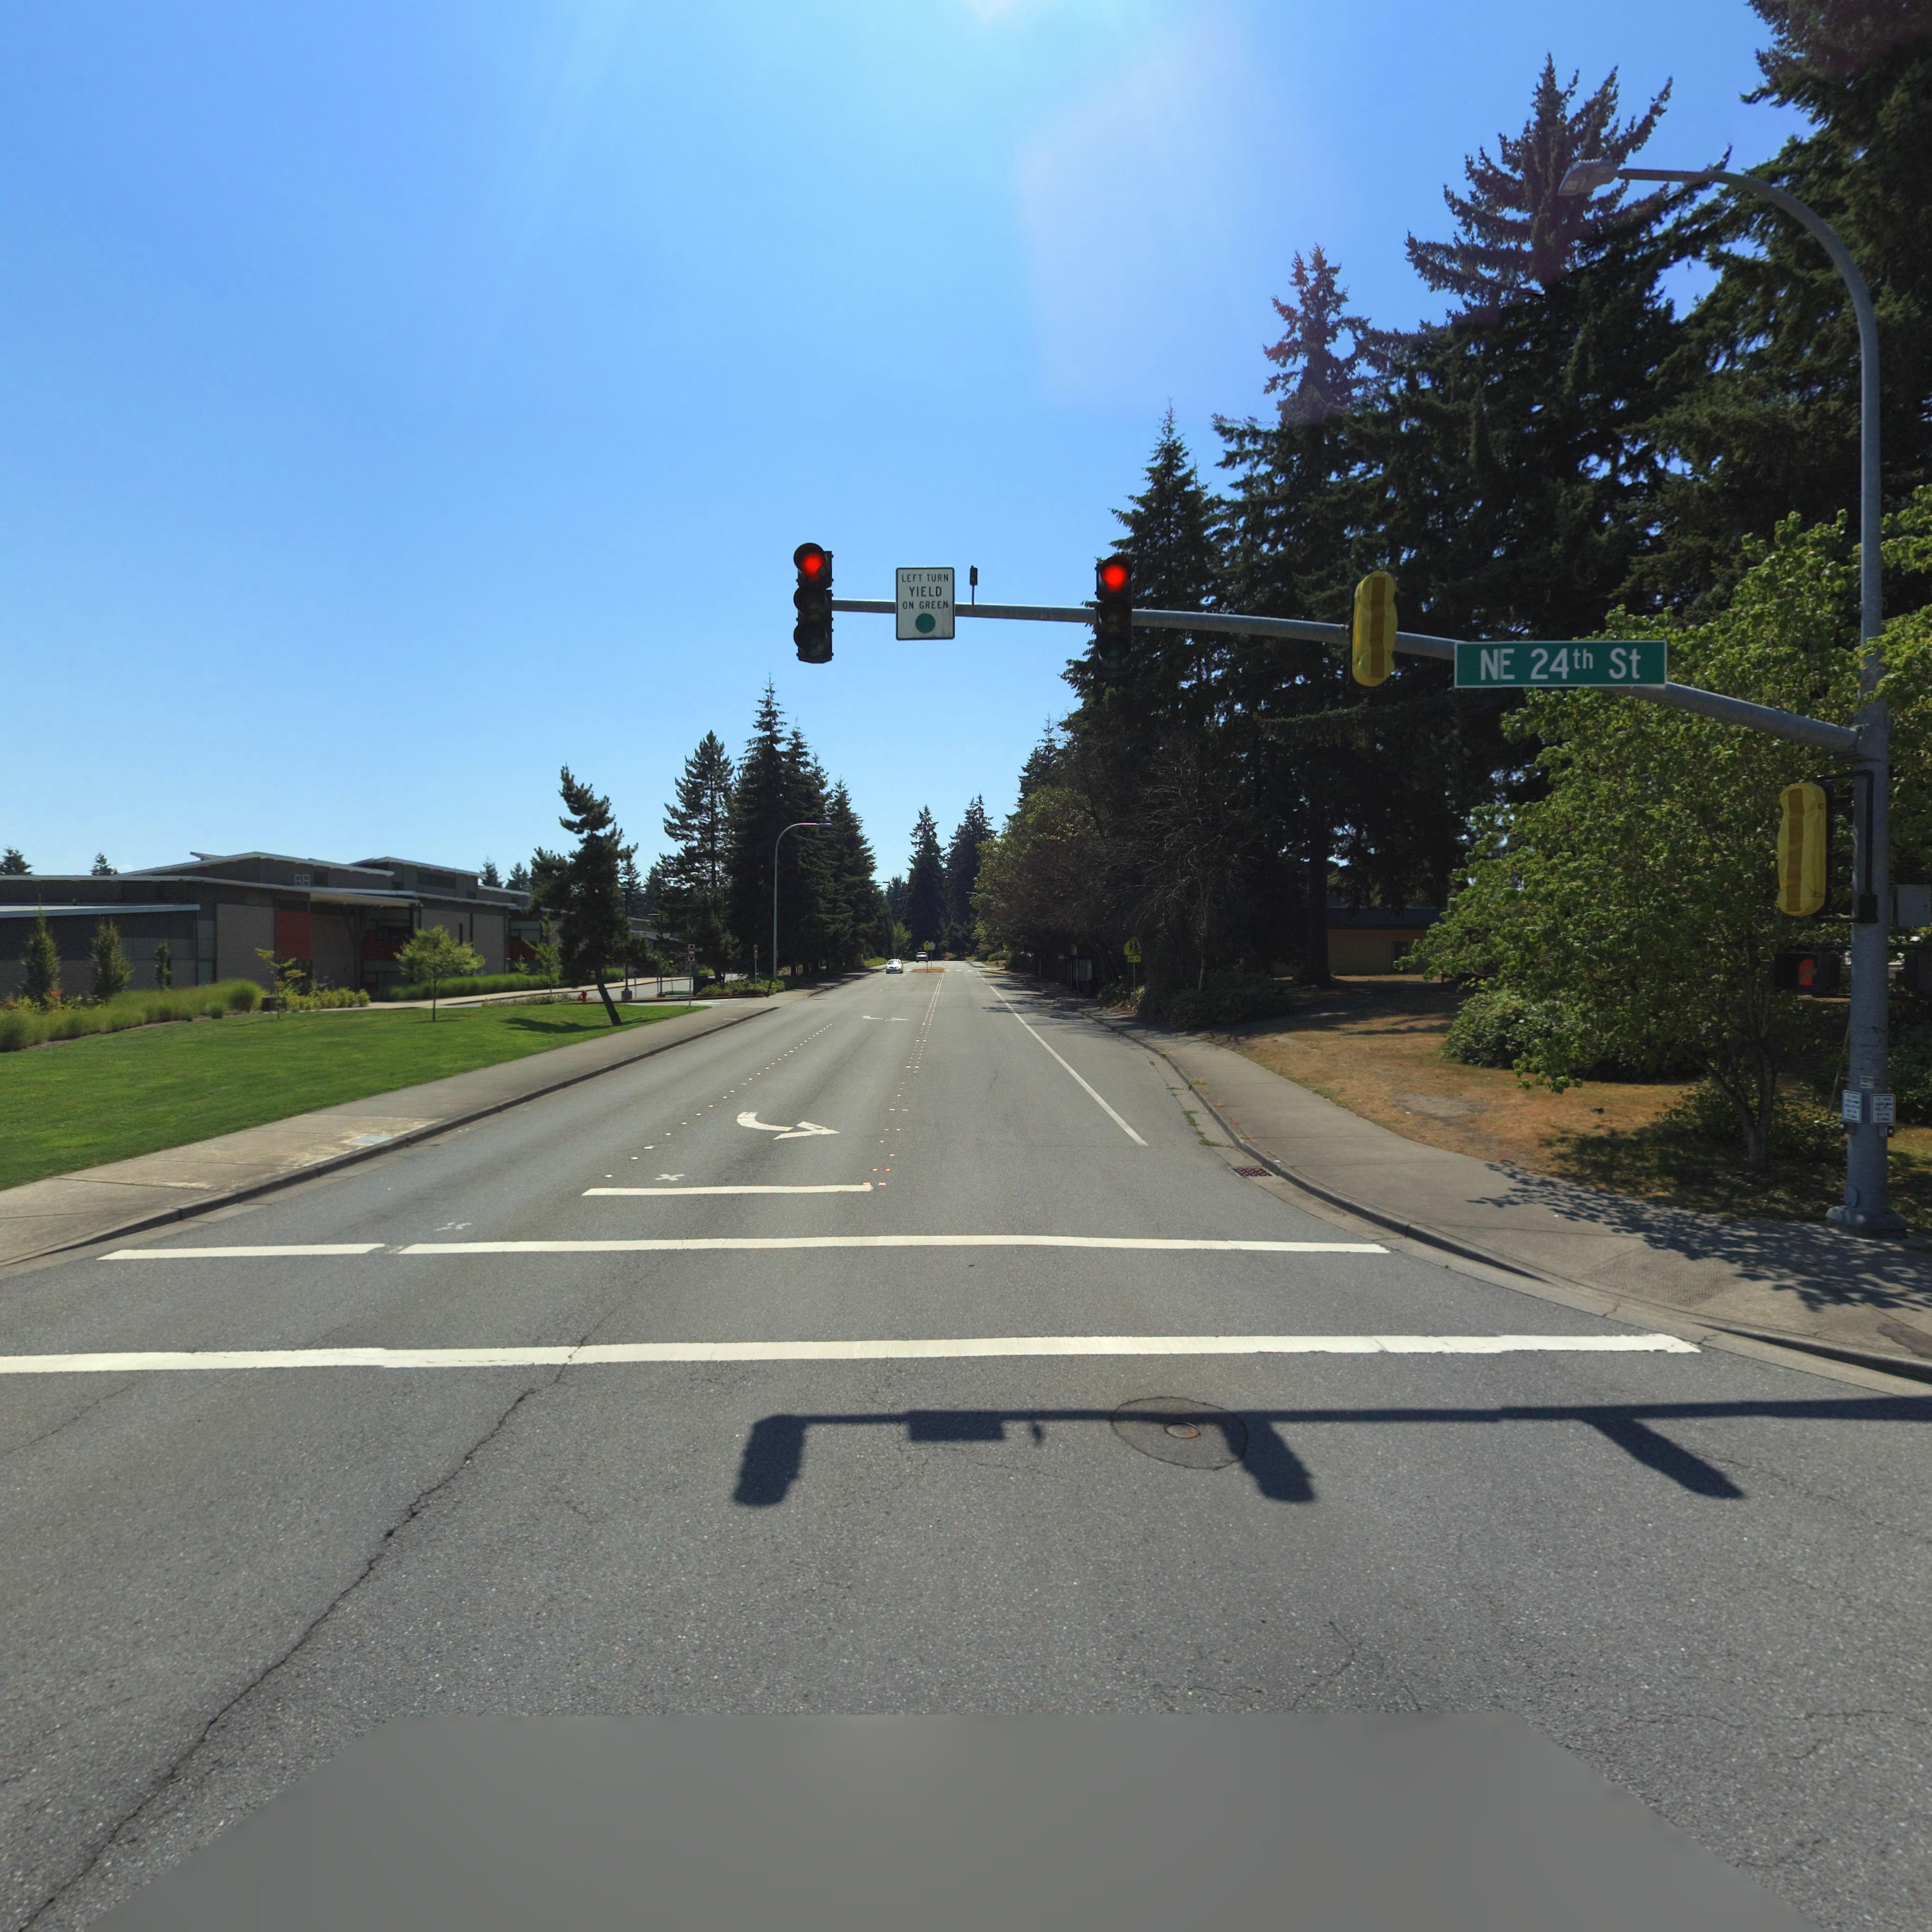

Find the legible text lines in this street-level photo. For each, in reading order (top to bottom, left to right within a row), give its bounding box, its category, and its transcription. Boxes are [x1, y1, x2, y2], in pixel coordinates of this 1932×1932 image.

[1481, 647, 1640, 679] StreetName: NE 24th St